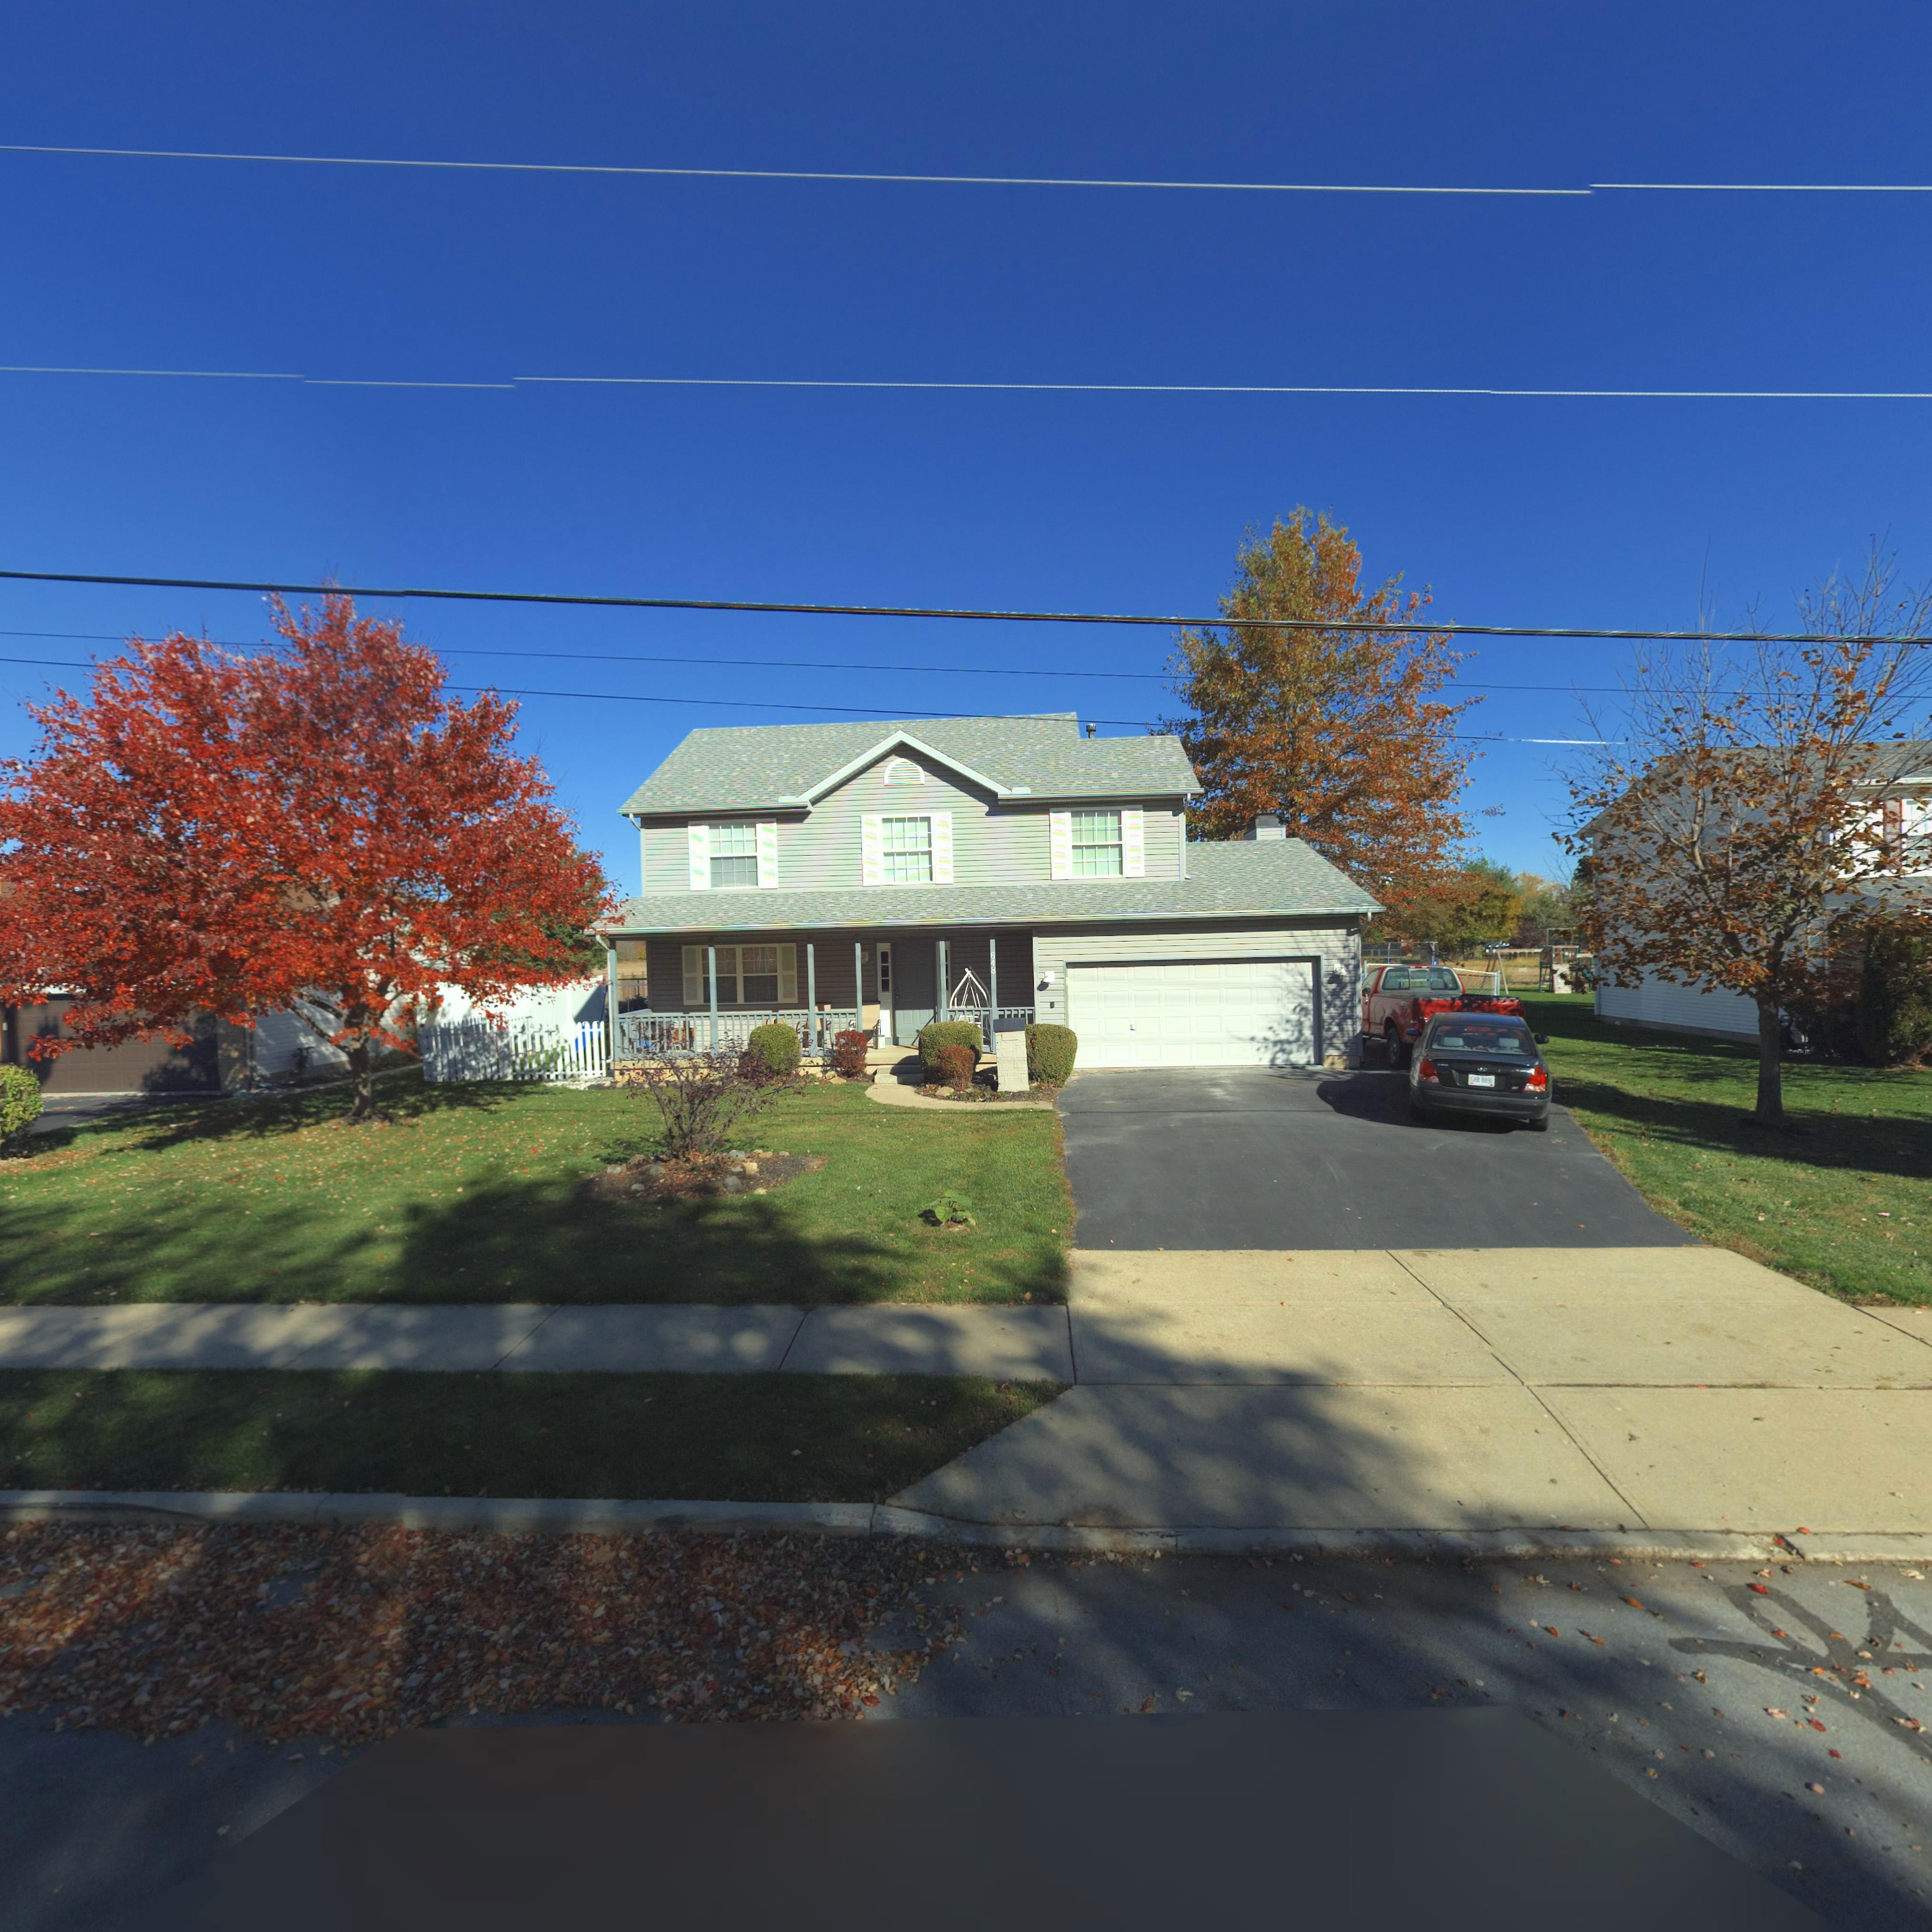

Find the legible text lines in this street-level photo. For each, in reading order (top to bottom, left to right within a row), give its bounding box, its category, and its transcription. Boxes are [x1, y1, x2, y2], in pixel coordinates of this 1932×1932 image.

[990, 952, 995, 974] StreetNumber: 648